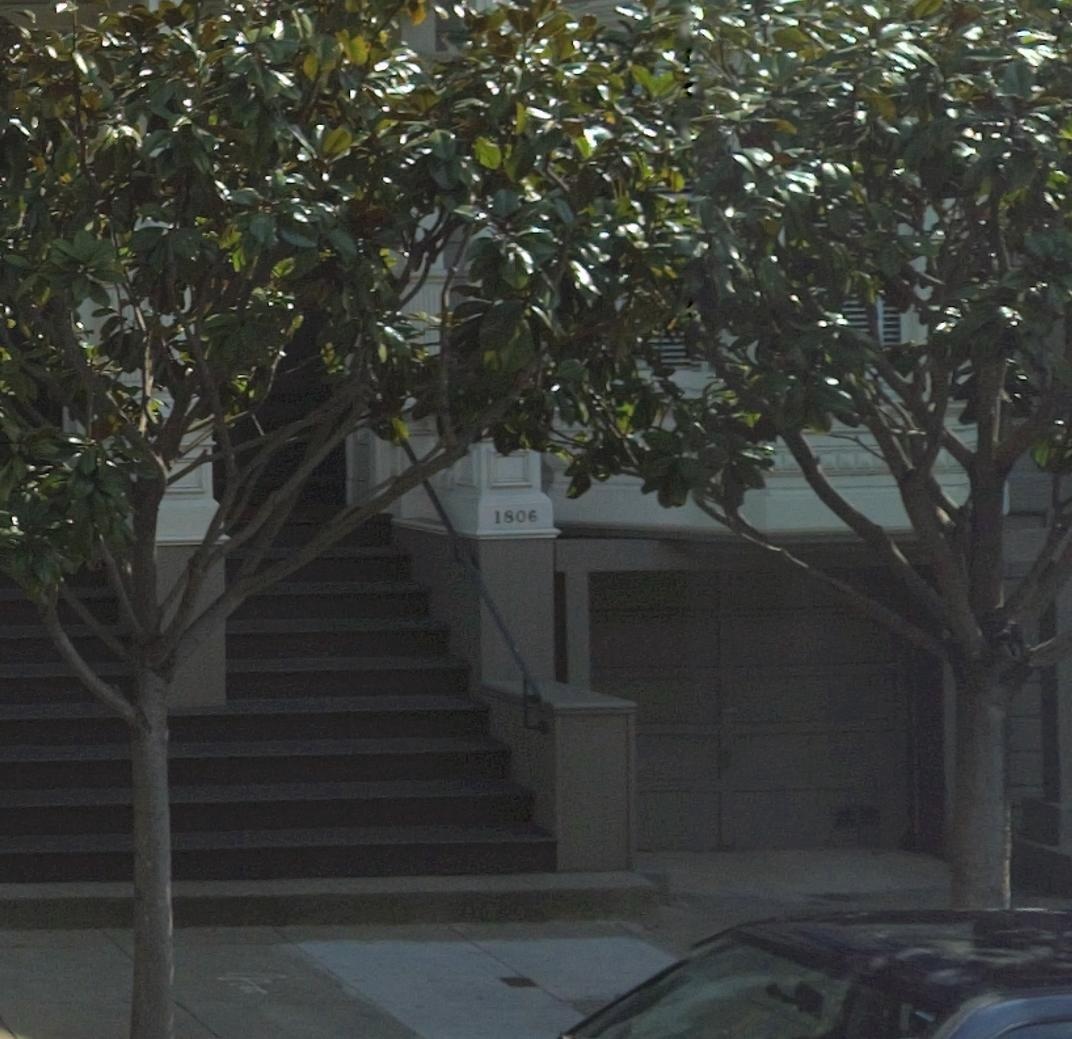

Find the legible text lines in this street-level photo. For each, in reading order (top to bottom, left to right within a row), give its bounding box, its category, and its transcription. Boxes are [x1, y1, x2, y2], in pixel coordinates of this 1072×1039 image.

[492, 507, 540, 527] StreetNumber: 1806